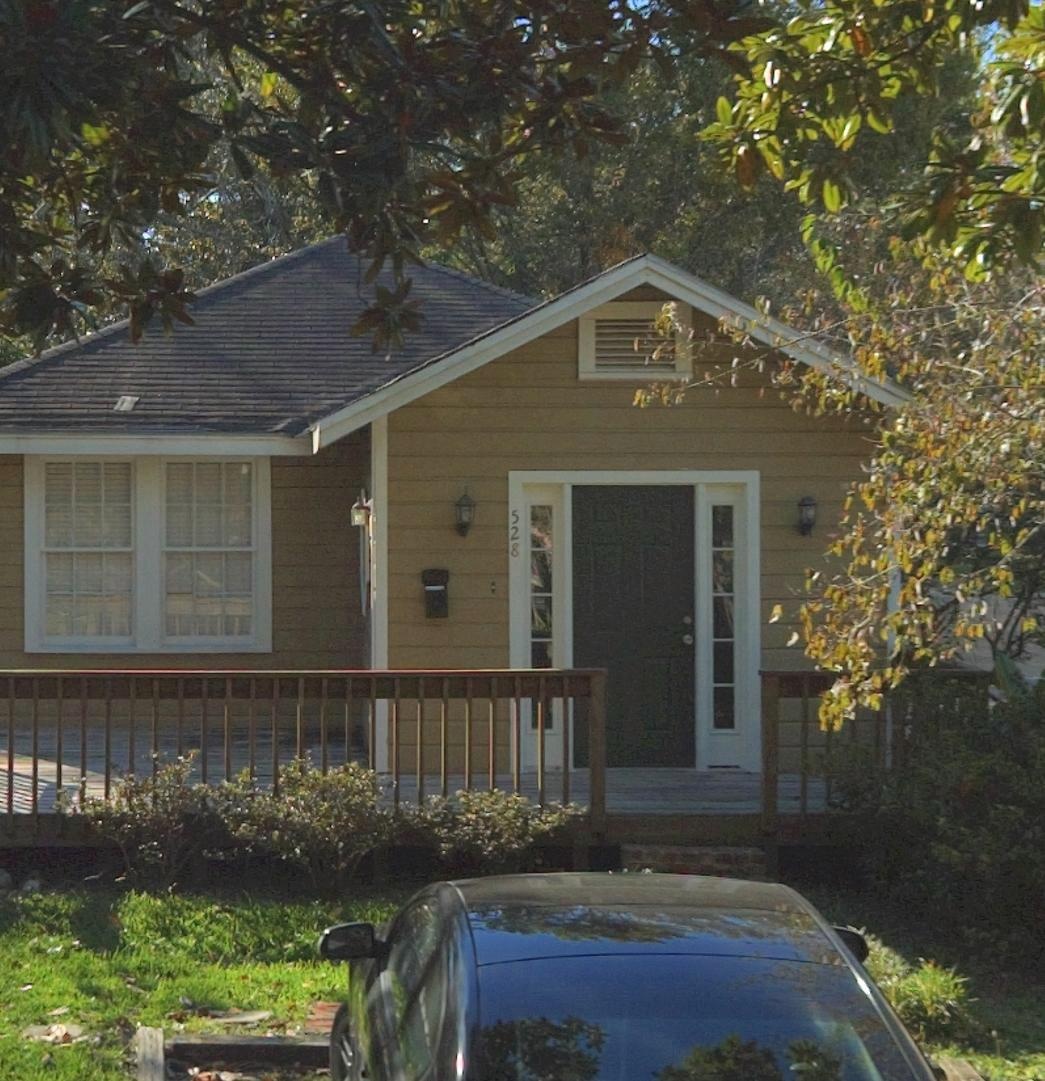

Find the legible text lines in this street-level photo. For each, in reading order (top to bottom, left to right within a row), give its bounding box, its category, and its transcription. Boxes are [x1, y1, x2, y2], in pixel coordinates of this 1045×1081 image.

[509, 508, 521, 559] StreetNumber: 528